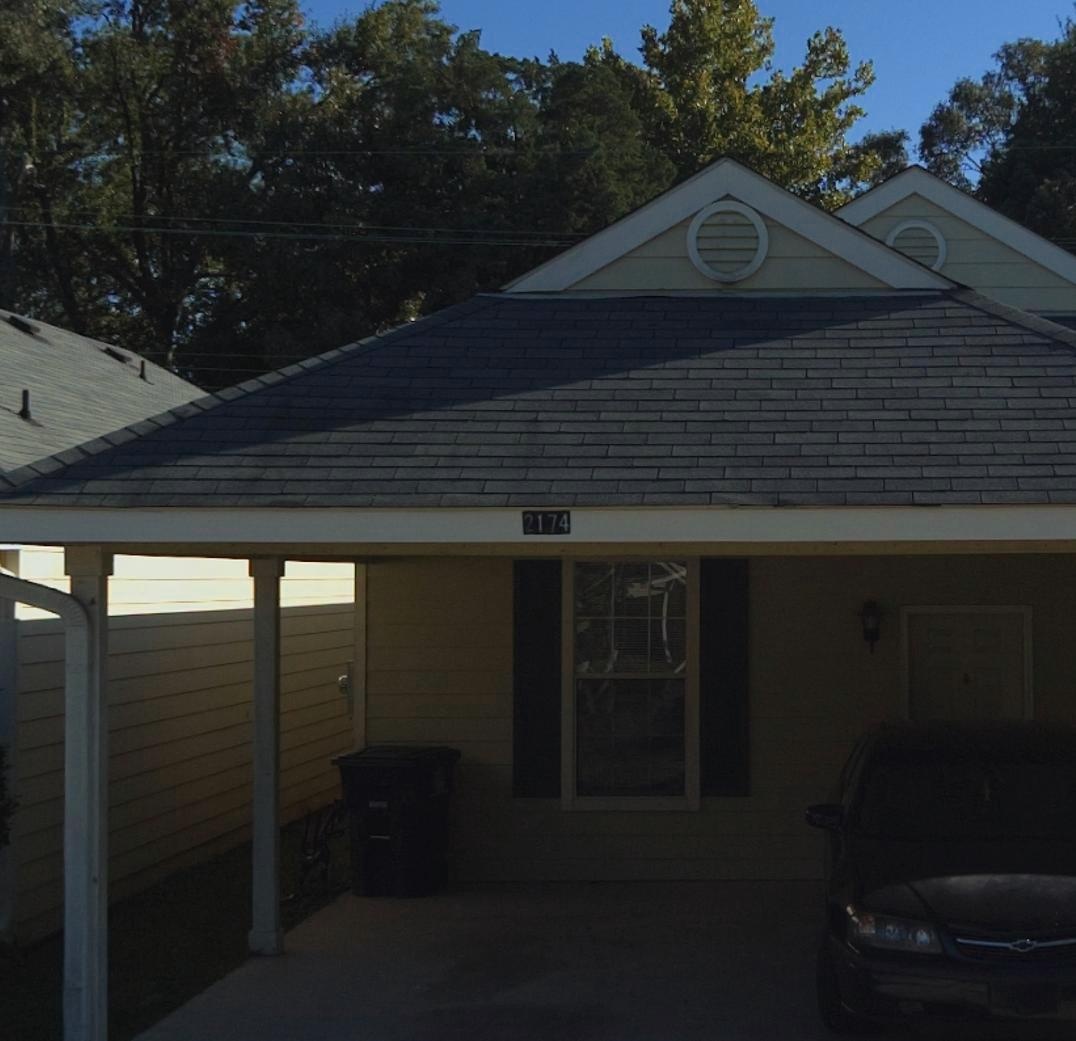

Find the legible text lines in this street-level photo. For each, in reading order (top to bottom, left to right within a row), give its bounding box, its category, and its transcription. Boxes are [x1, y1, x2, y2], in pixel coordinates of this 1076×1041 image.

[524, 512, 570, 533] StreetNumber: 2174